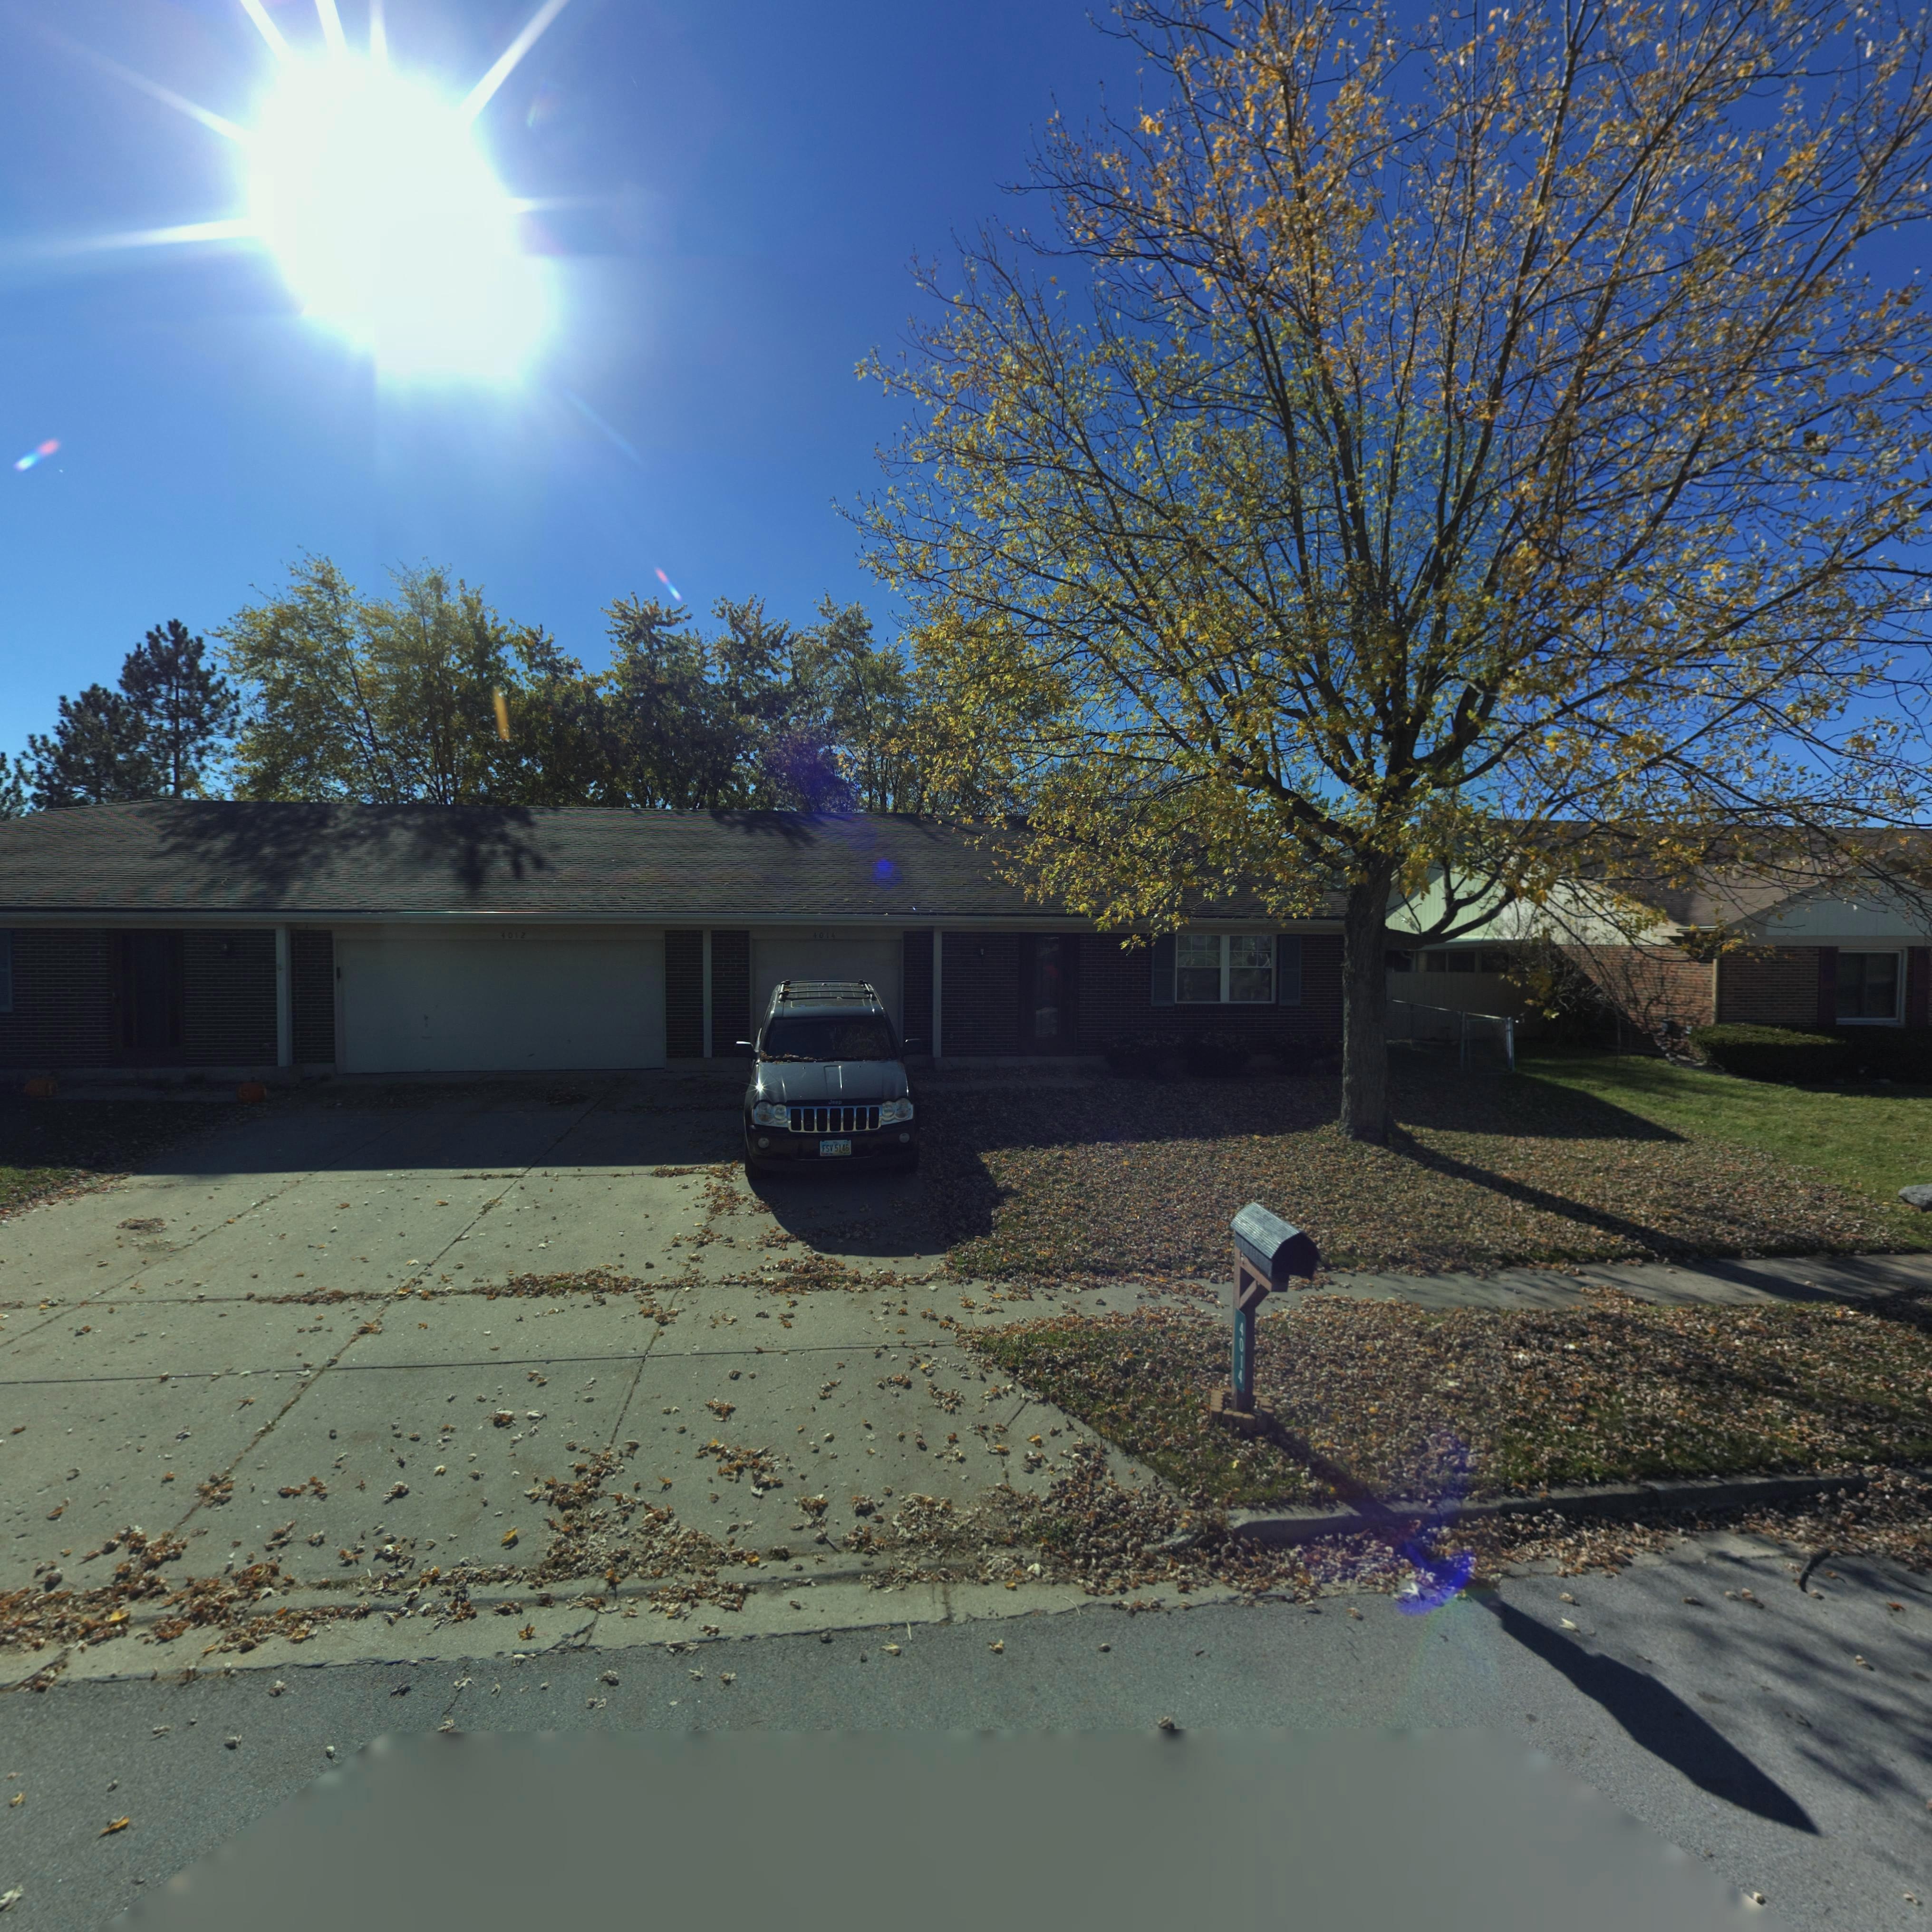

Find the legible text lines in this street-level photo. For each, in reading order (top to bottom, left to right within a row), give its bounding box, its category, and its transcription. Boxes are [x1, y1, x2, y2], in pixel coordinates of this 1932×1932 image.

[501, 930, 526, 939] StreetNumber: 4012
[812, 931, 835, 939] StreetNumber: 4014
[1236, 1321, 1245, 1385] StreetNumber: 4014